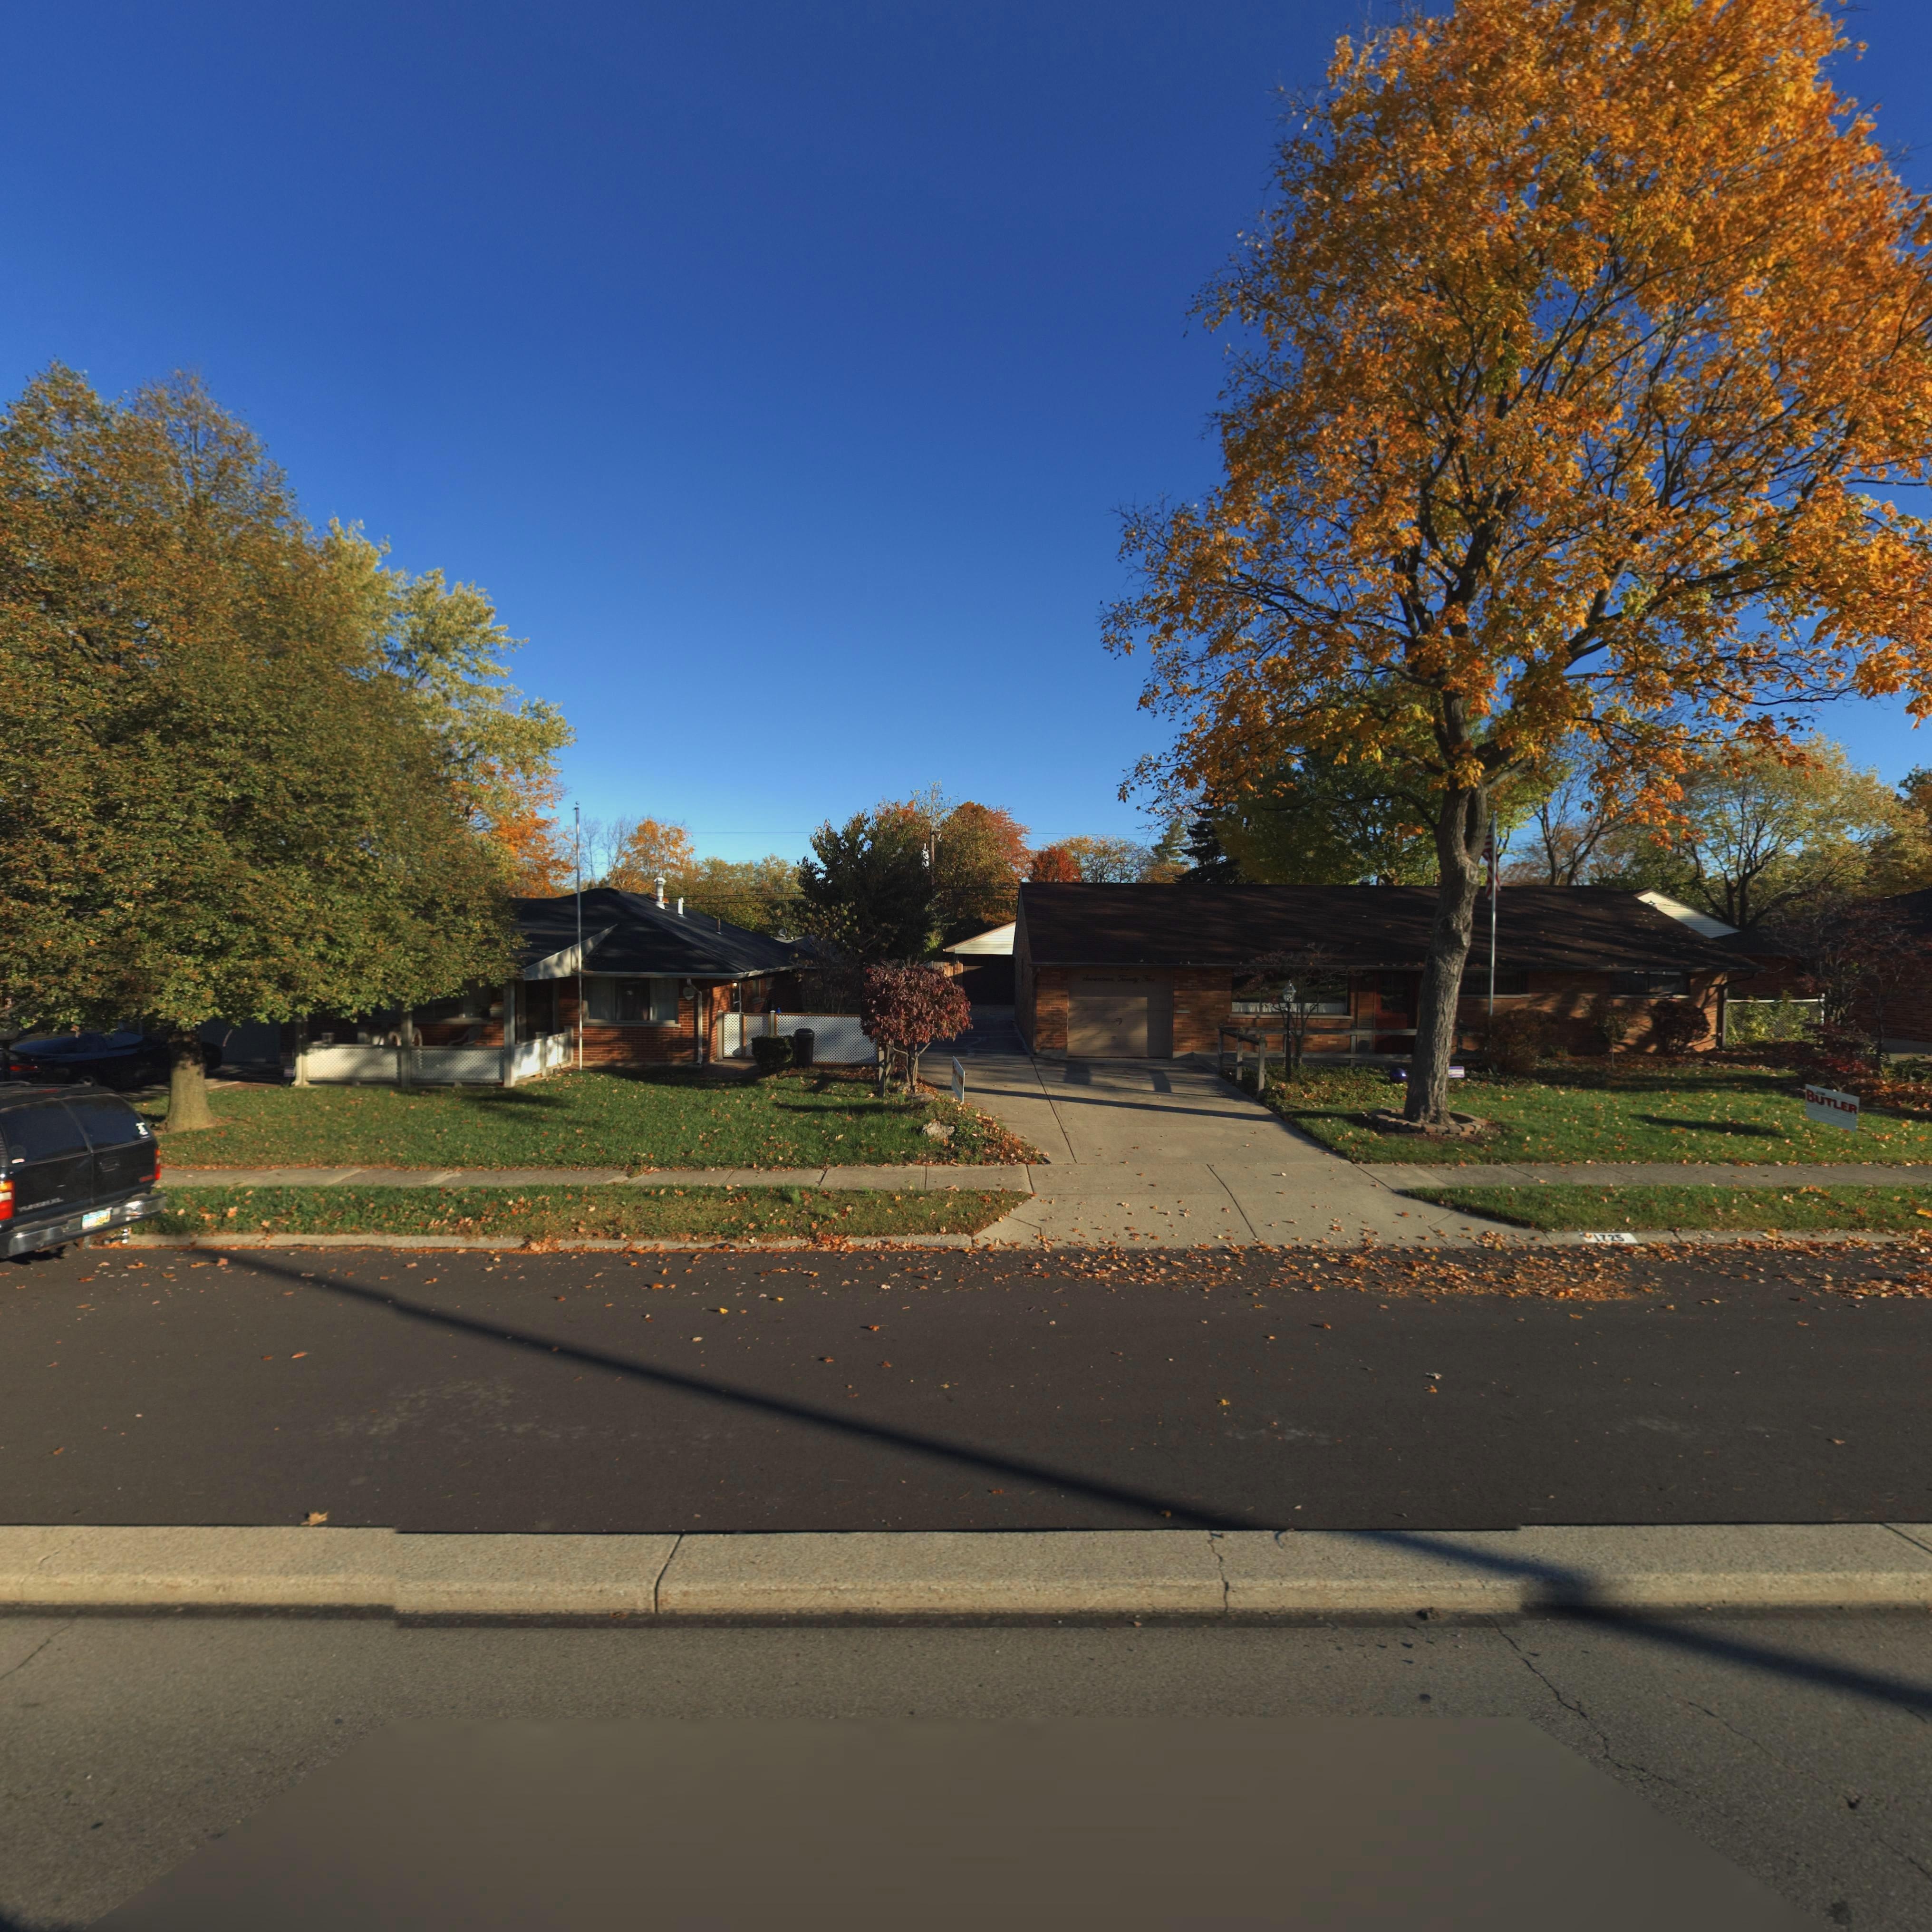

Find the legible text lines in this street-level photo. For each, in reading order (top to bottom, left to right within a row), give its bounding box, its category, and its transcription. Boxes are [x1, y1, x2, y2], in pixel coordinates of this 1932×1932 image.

[1806, 1088, 1858, 1115] None: BUTLER
[1591, 1234, 1628, 1242] StreetNumber: 1725